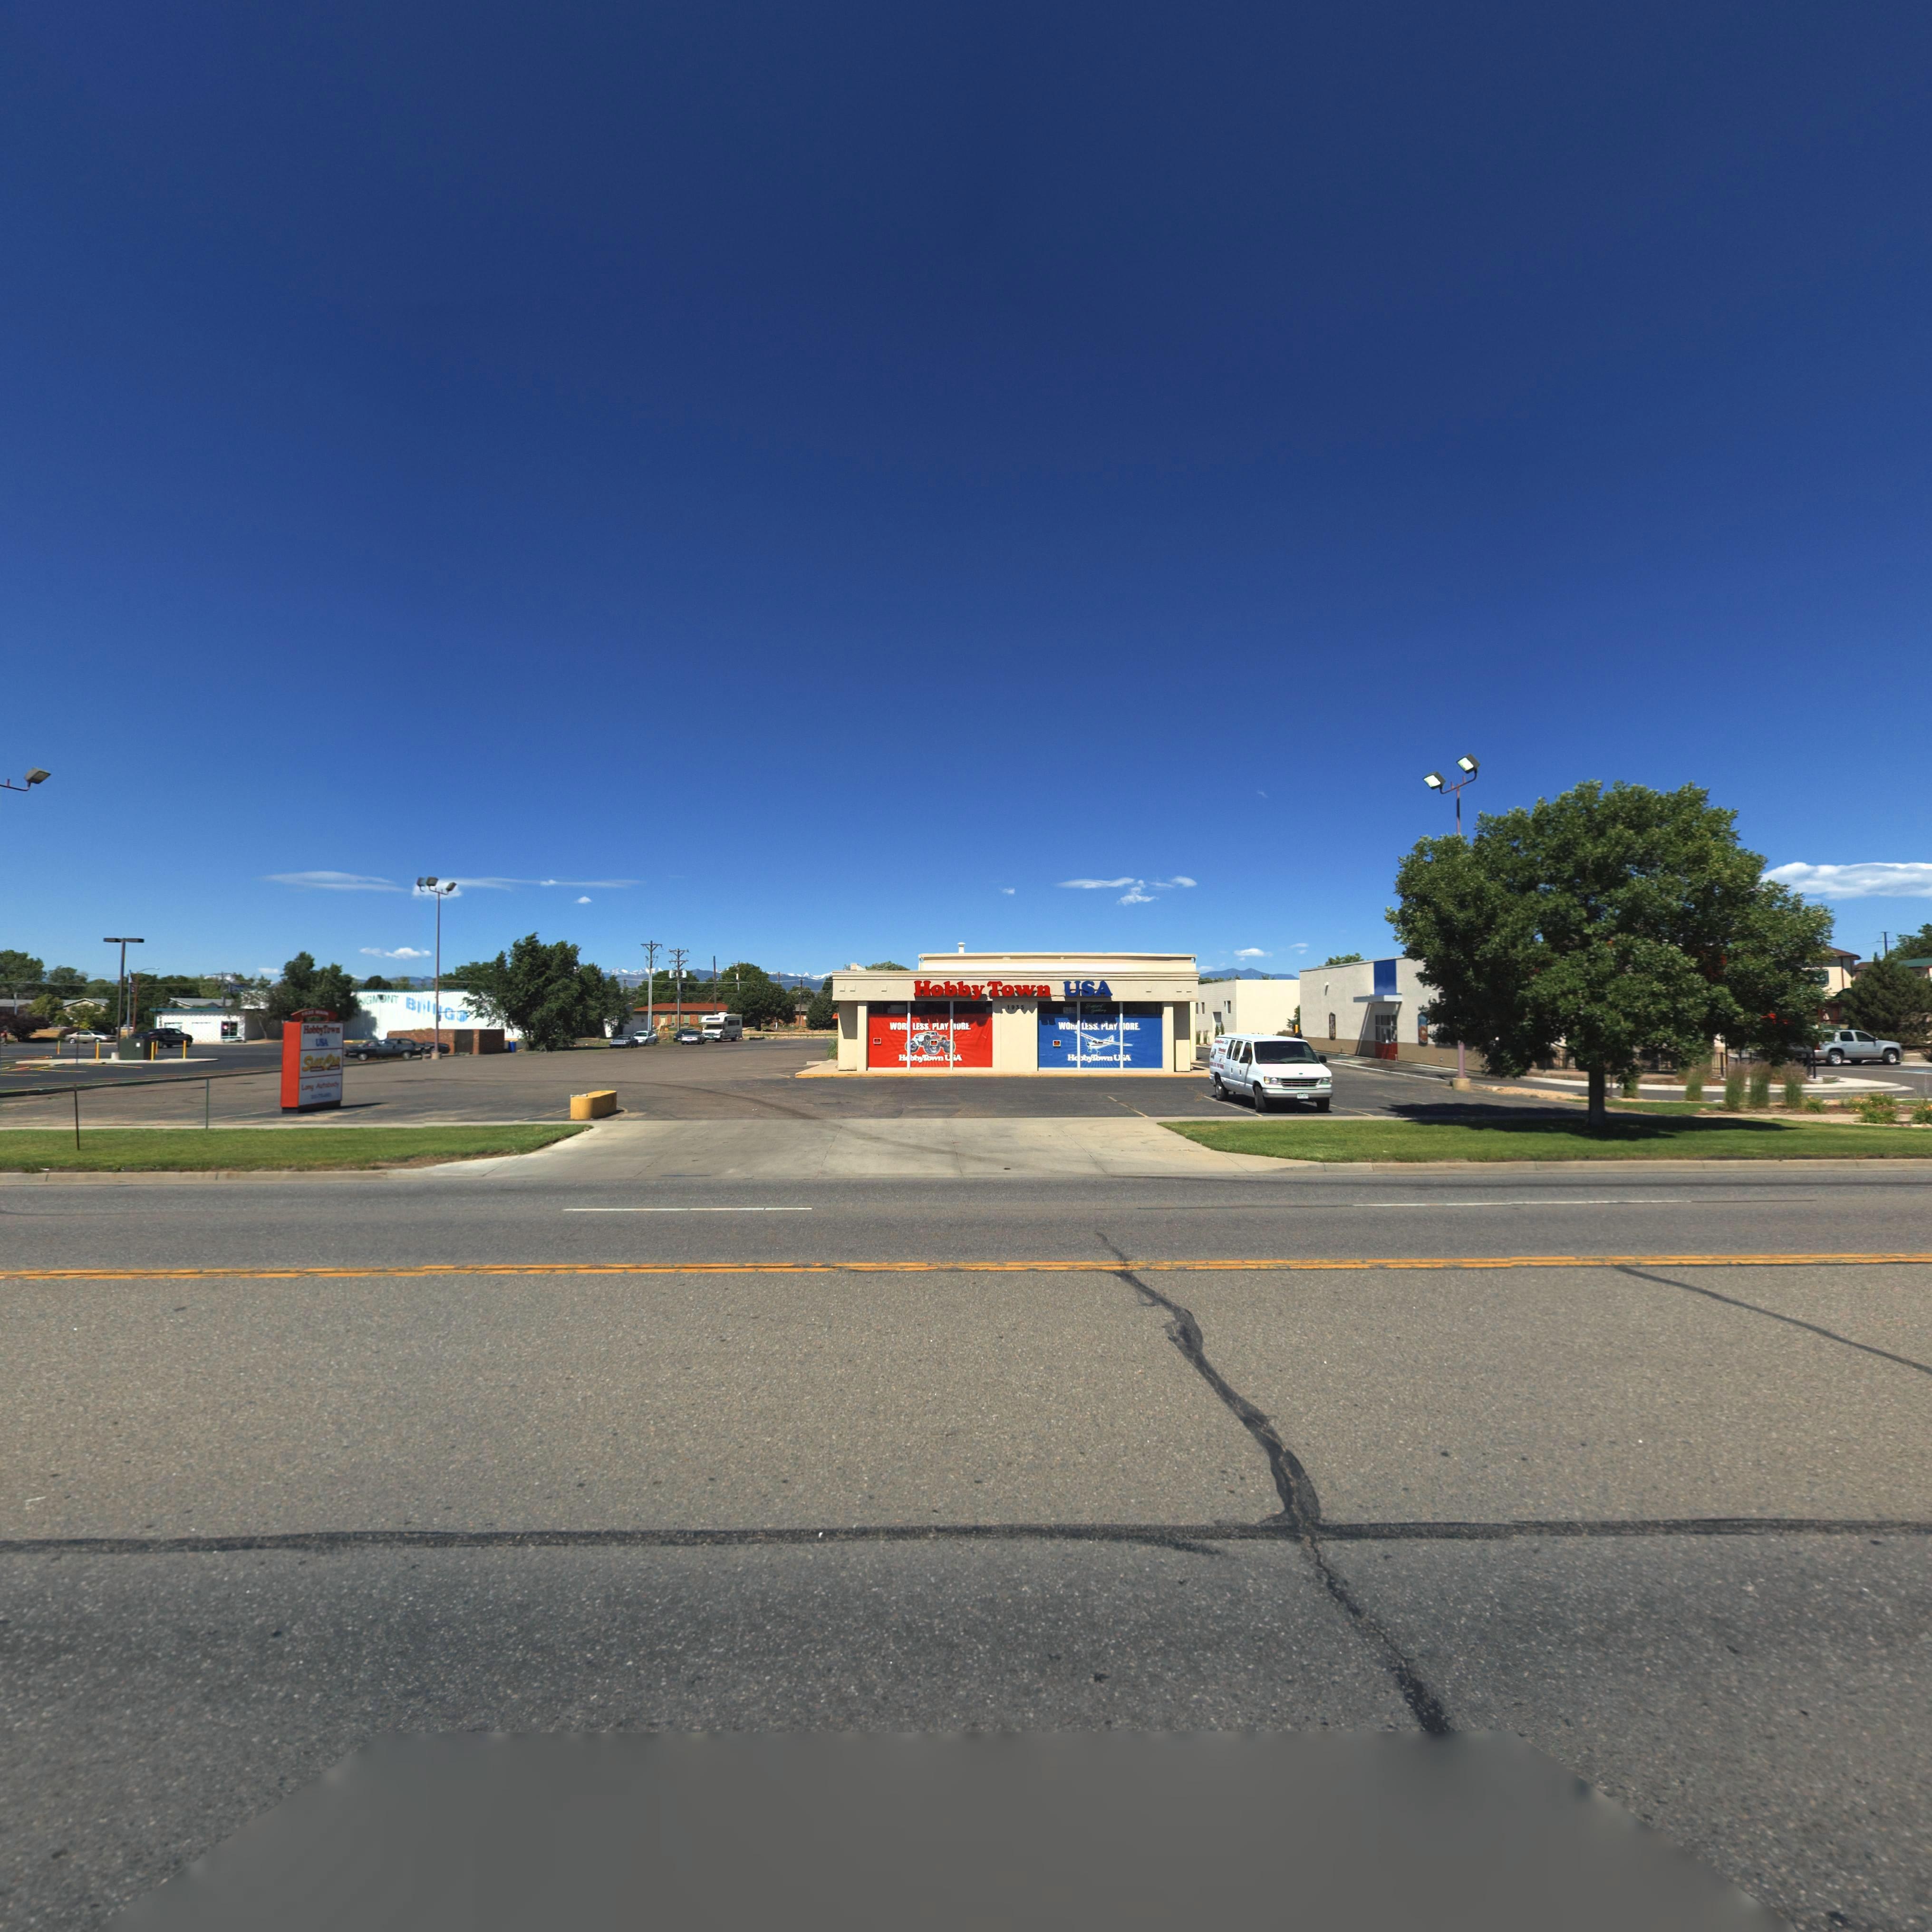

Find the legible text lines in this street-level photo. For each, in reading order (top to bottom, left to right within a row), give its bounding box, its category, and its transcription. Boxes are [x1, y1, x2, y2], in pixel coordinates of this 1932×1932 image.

[913, 980, 1114, 1001] BusinessName: HobbyTown USA
[357, 994, 469, 1024] BusinessName: NG*ONT B**G*
[1006, 1005, 1024, 1010] StreetNumber: 1935
[303, 1024, 340, 1036] BusinessName: HobbyTown
[315, 1037, 329, 1047] BusinessName: USA
[301, 1053, 341, 1072] BusinessName: SLOTCAR
[898, 1053, 963, 1063] BusinessName: H*bbyTown U*A
[1067, 1053, 1132, 1063] BusinessName: H**byTown U*A
[301, 1080, 340, 1092] BusinessName: Long Autobody